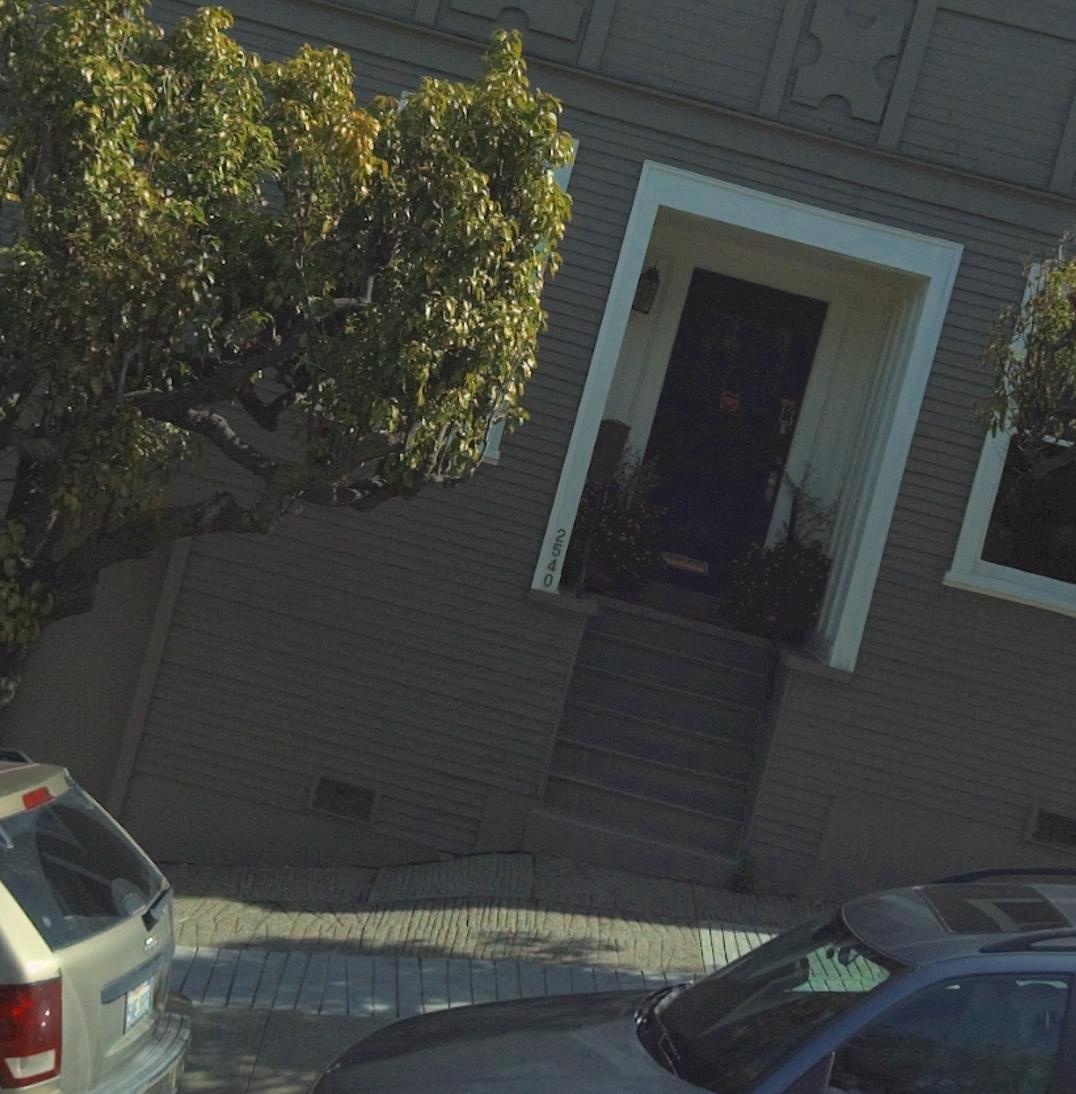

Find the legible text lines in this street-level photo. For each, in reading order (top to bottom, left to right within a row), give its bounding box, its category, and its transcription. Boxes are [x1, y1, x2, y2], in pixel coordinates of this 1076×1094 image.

[540, 526, 568, 589] StreetNumber: 2540